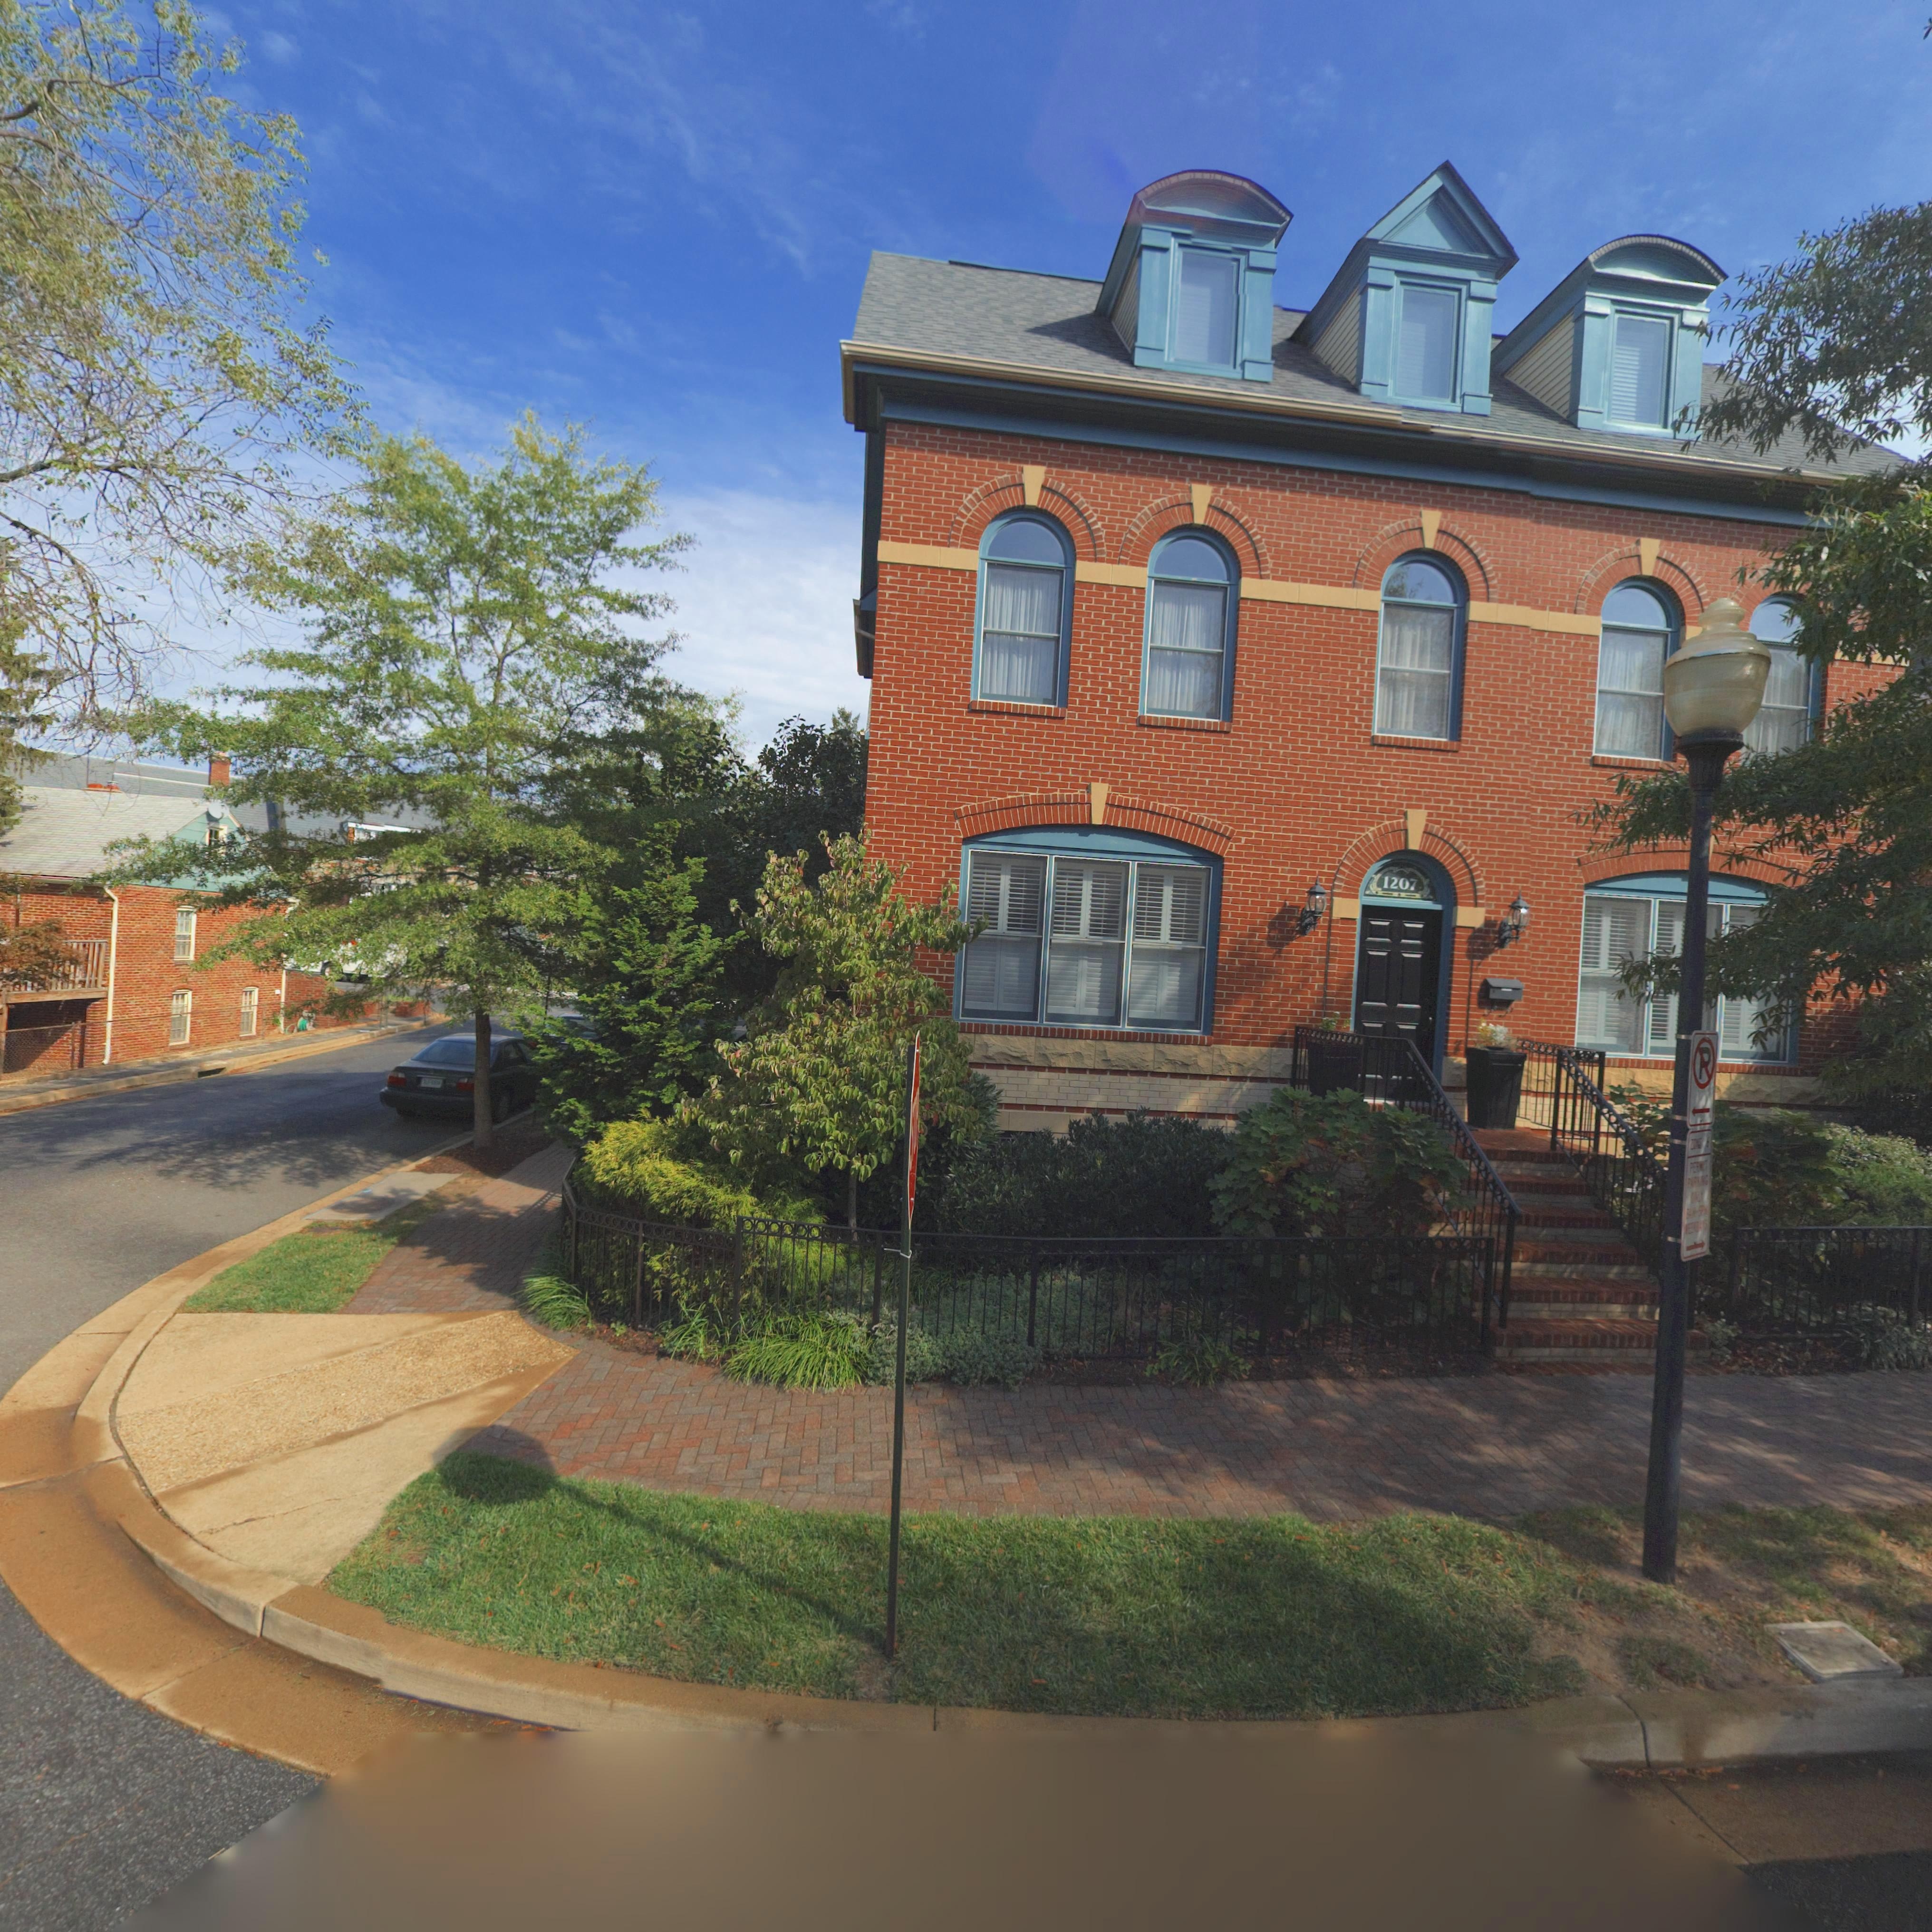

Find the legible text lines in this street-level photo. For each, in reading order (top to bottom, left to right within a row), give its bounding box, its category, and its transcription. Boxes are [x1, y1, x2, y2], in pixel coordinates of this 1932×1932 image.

[1381, 875, 1419, 892] StreetNumber: 1207